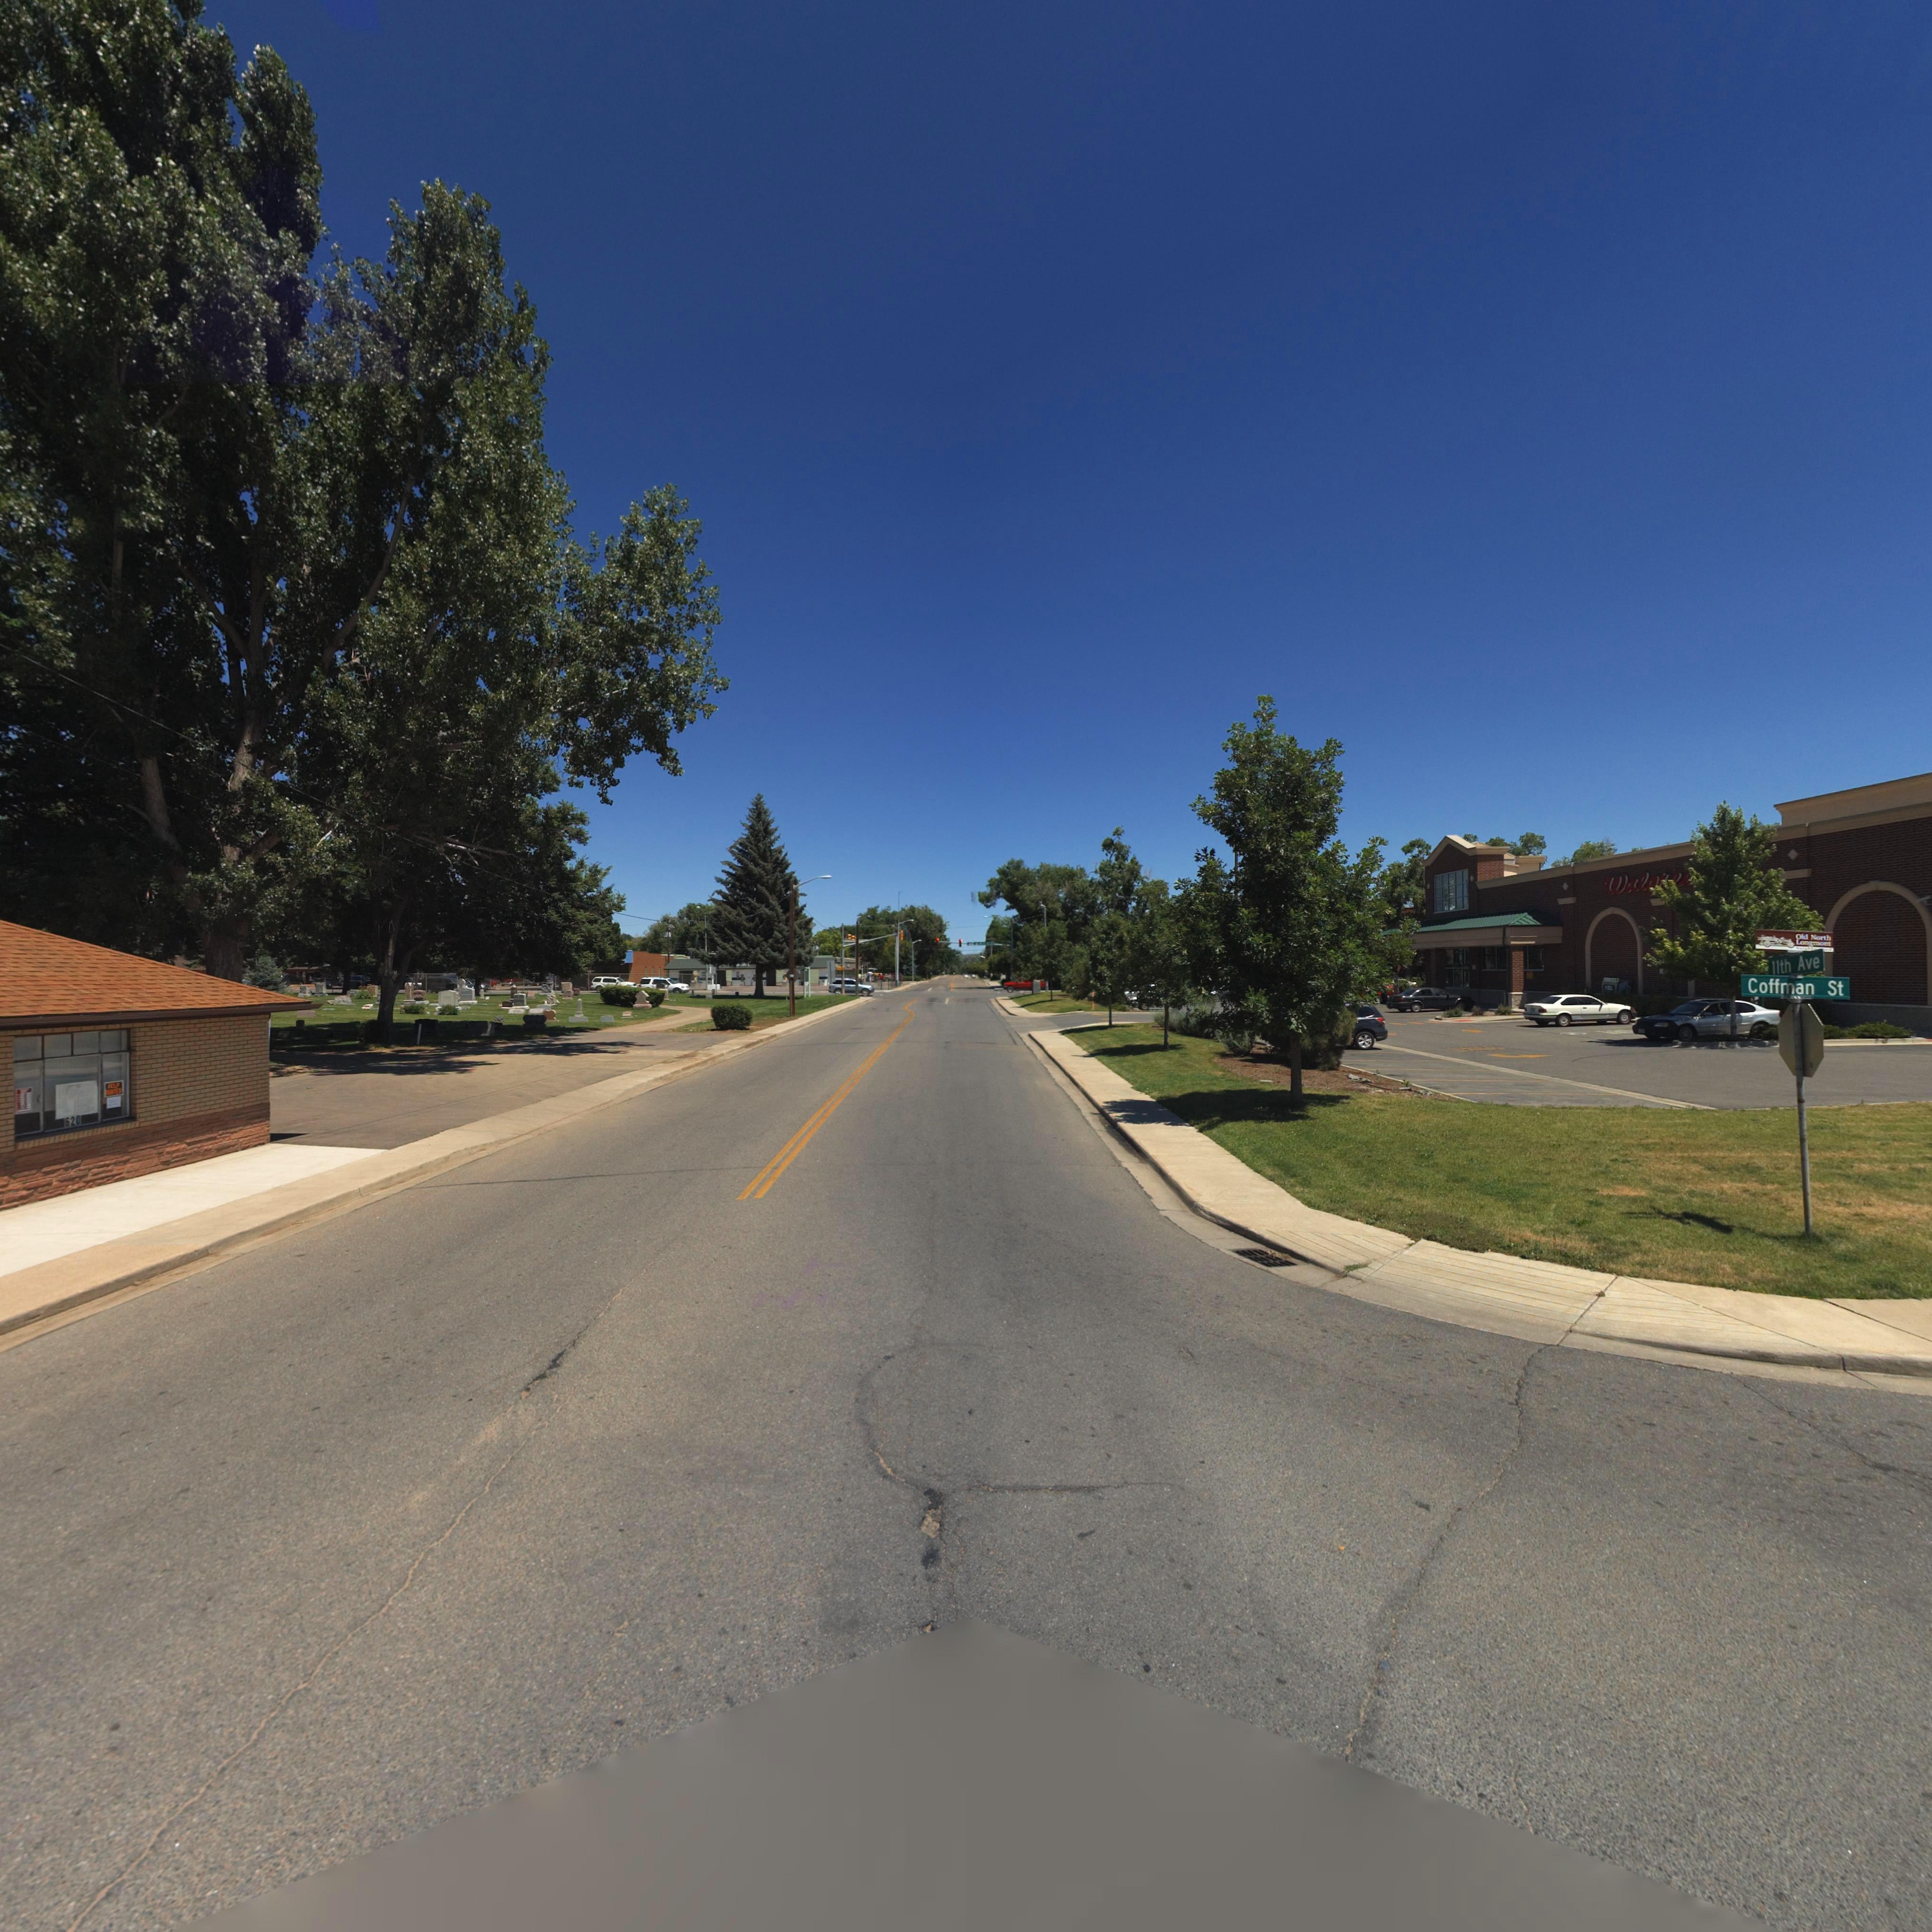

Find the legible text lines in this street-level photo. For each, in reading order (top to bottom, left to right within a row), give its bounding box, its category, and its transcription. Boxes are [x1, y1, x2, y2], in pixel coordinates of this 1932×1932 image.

[1603, 872, 1691, 896] BusinessName: Wal****
[1771, 955, 1820, 975] StreetName: 11th Ave
[1747, 977, 1844, 996] StreetName: Coffman St
[65, 1114, 81, 1126] StreetNumber: 620